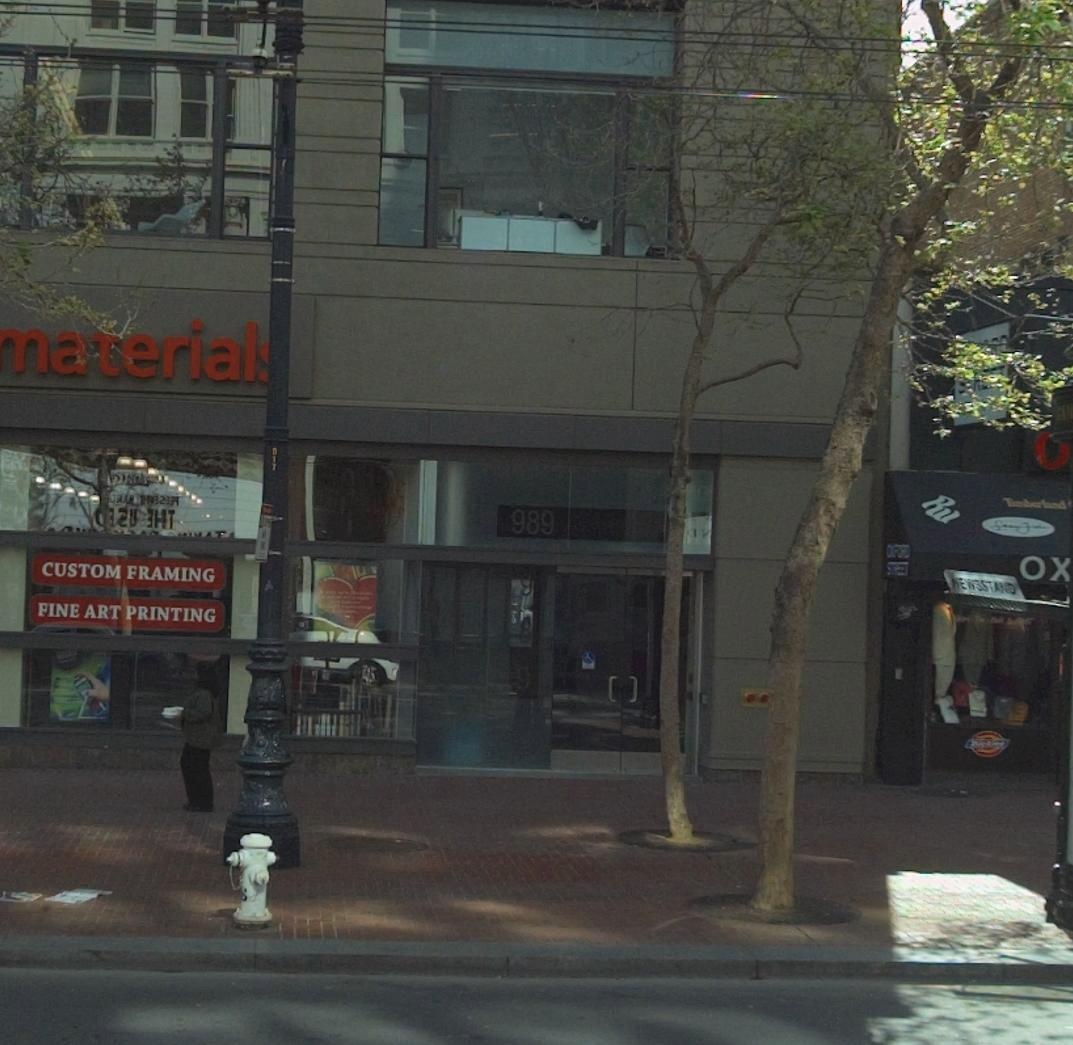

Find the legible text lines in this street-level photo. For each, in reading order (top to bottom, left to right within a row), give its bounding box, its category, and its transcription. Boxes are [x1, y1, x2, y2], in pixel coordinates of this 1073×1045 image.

[42, 313, 265, 388] BusinessName: aterial
[115, 505, 182, 534] None: *U *HT
[506, 506, 559, 539] StreetNumber: 989
[916, 488, 963, 527] None: Ru
[998, 492, 1071, 513] None: Ti*berland
[881, 541, 916, 562] None: OXFORD
[38, 555, 219, 589] None: CUSTOM FRAMING
[883, 559, 913, 581] None: STREET
[954, 575, 970, 592] None: E
[1015, 550, 1072, 587] BusinessName: OX
[33, 598, 223, 628] None: FINE ART PRINTING